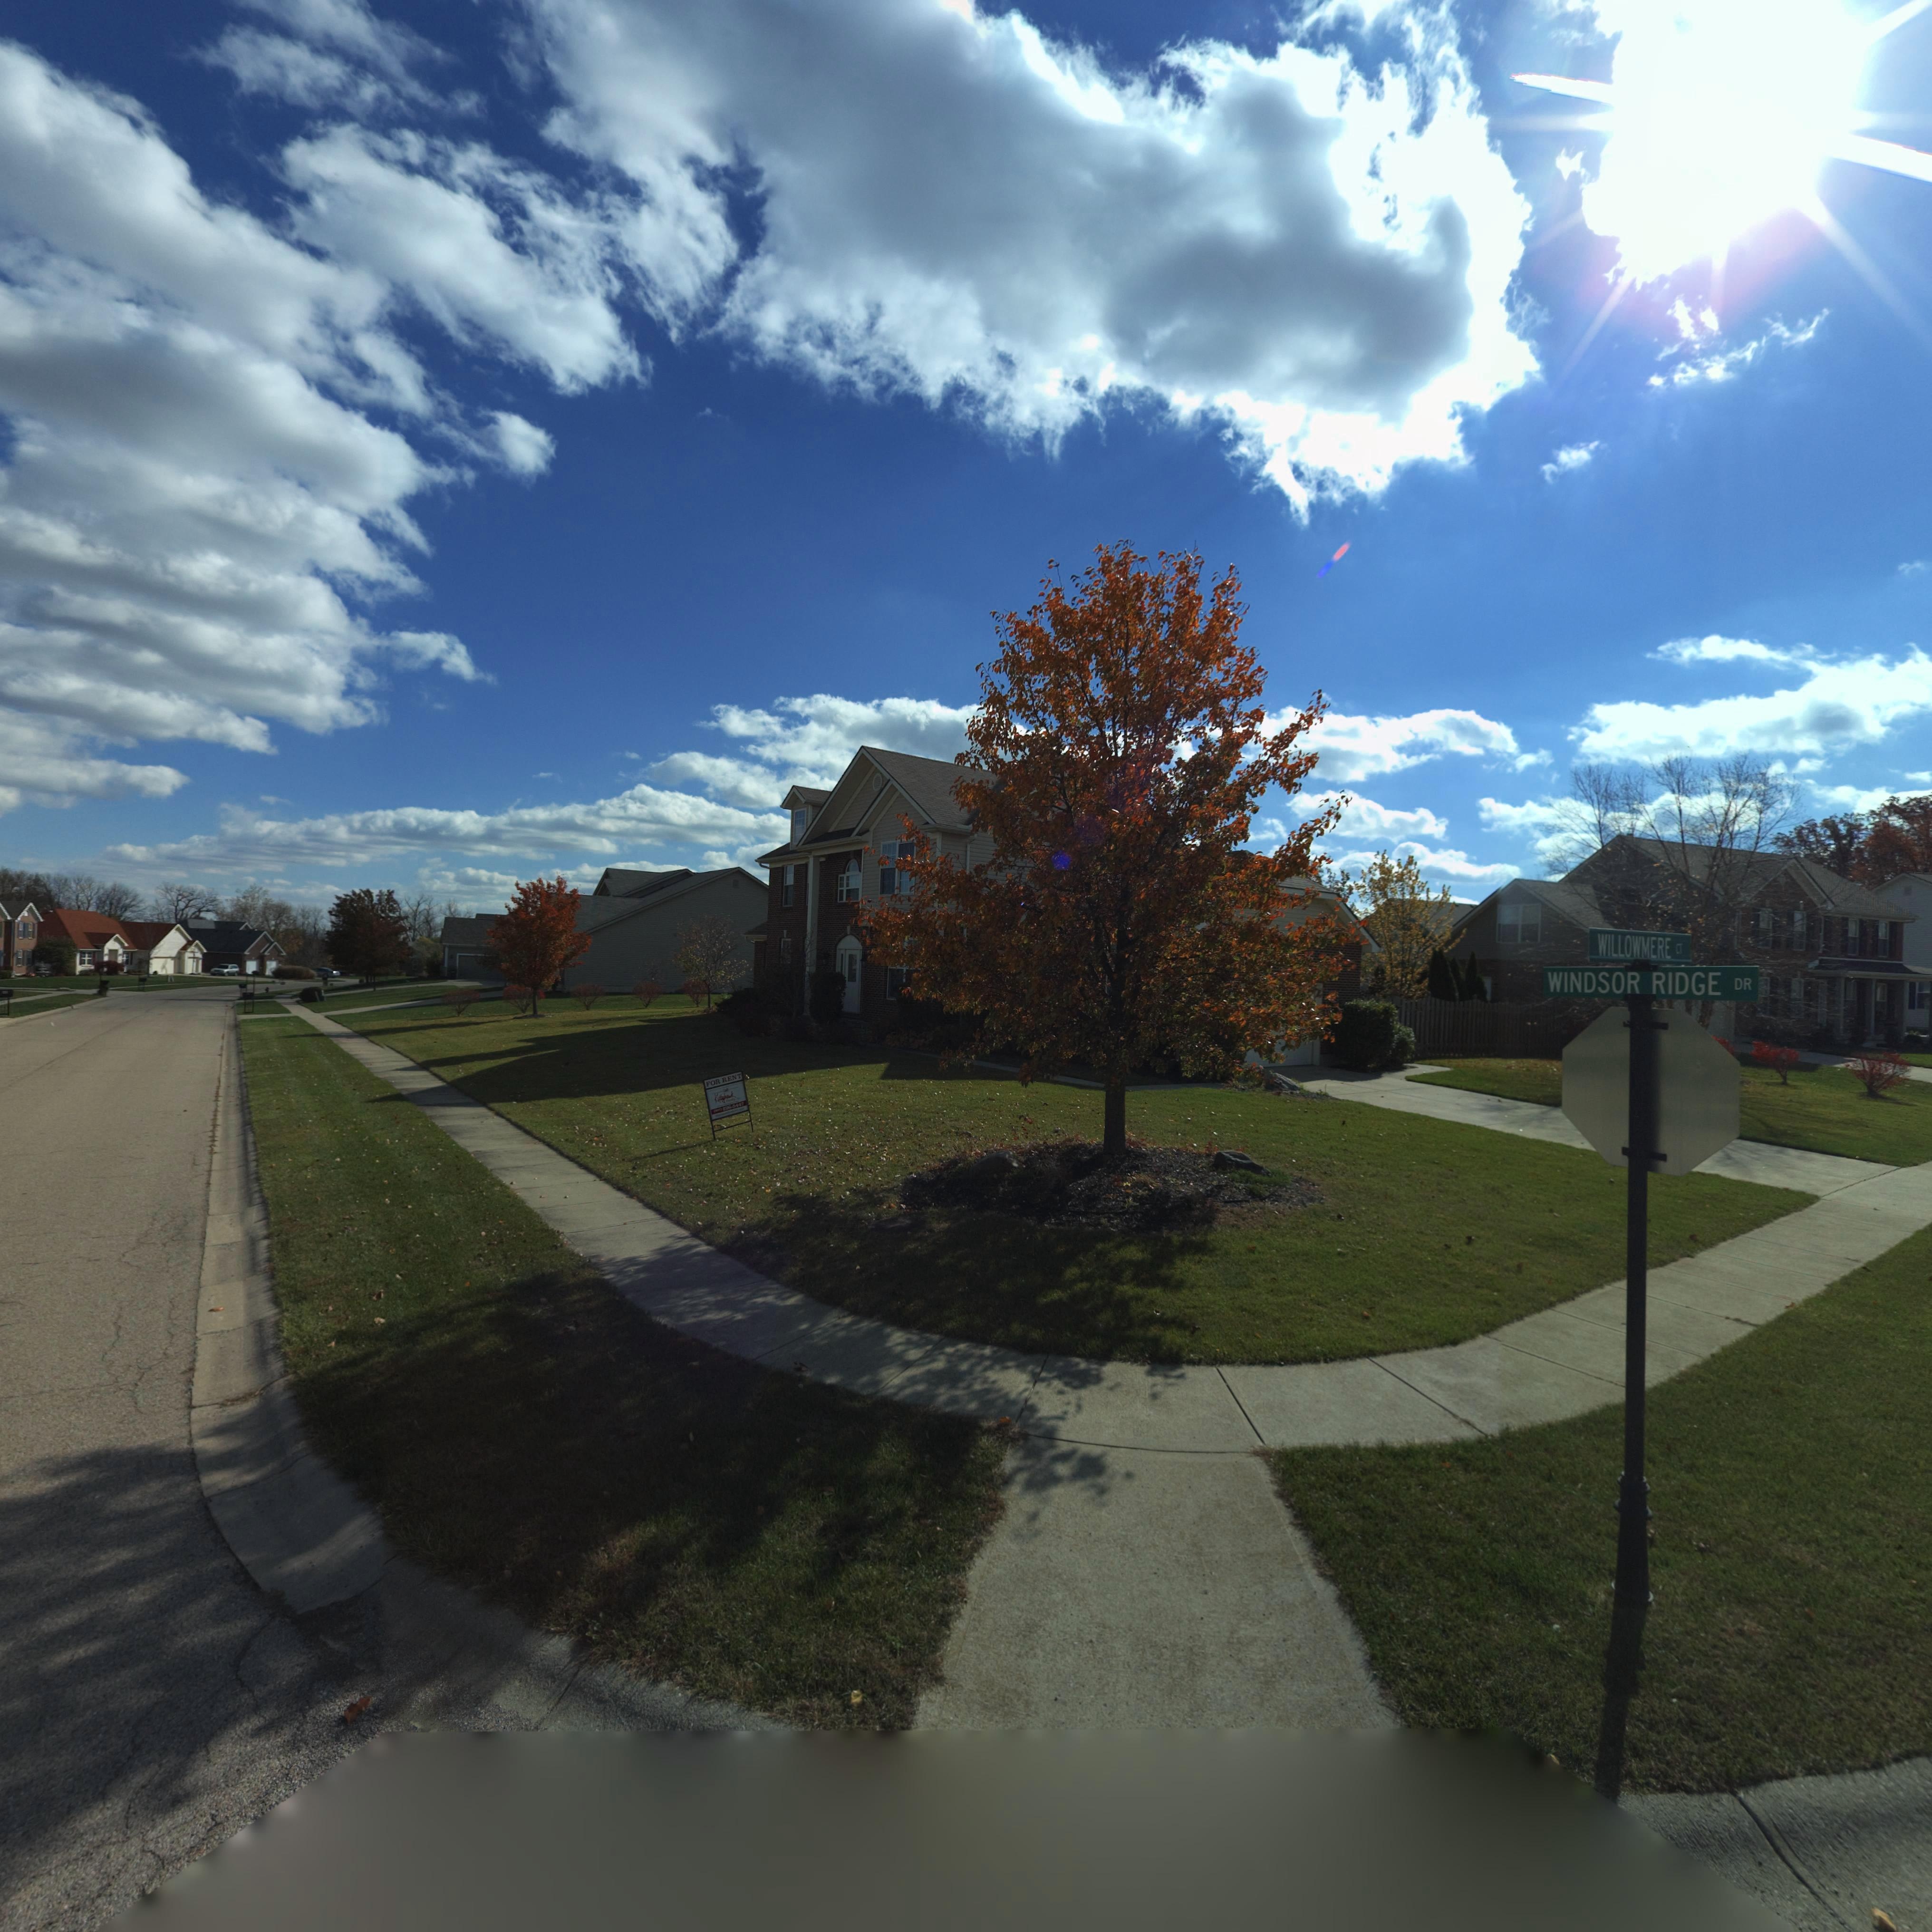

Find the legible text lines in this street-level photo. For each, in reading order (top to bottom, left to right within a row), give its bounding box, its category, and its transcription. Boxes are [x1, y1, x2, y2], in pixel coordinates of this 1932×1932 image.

[1596, 931, 1684, 960] StreetName: WILLOWMERE CT
[1546, 970, 1753, 996] StreetName: WINDSOR RIDGE DR